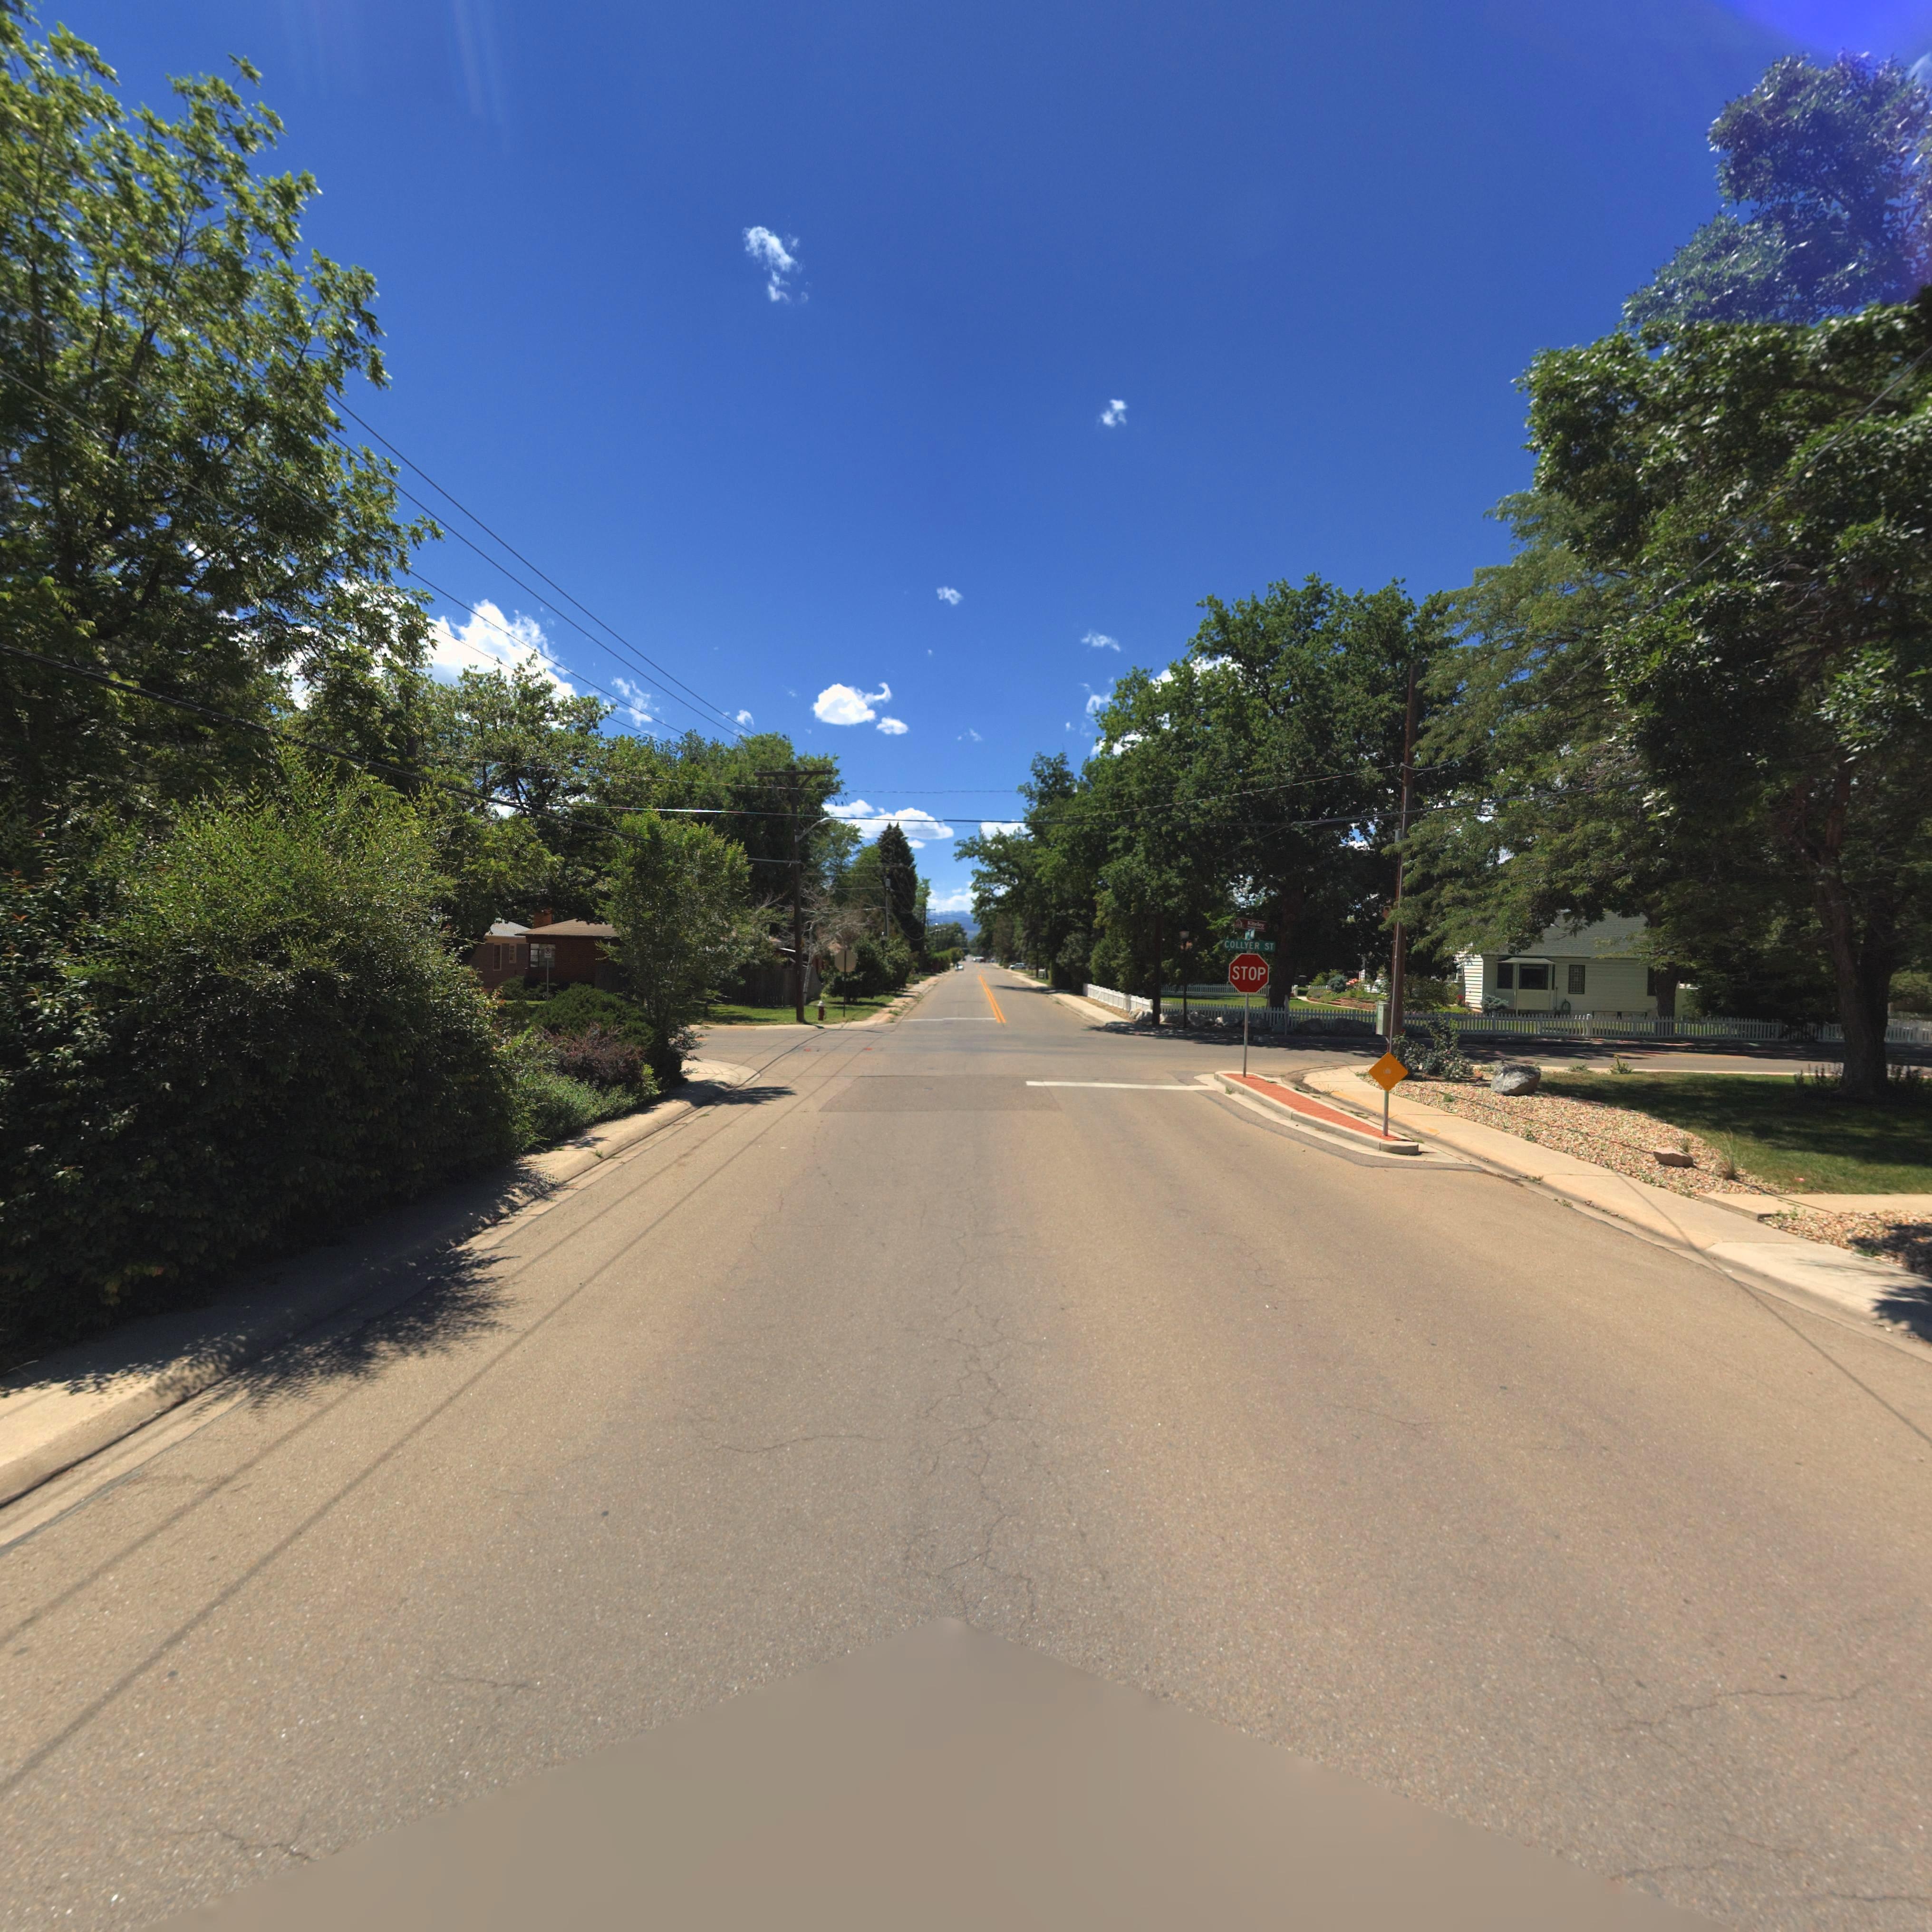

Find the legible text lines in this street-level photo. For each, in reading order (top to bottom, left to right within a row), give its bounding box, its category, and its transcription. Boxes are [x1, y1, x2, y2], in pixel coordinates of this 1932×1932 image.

[1224, 940, 1273, 950] StreetName: COLLYER ST